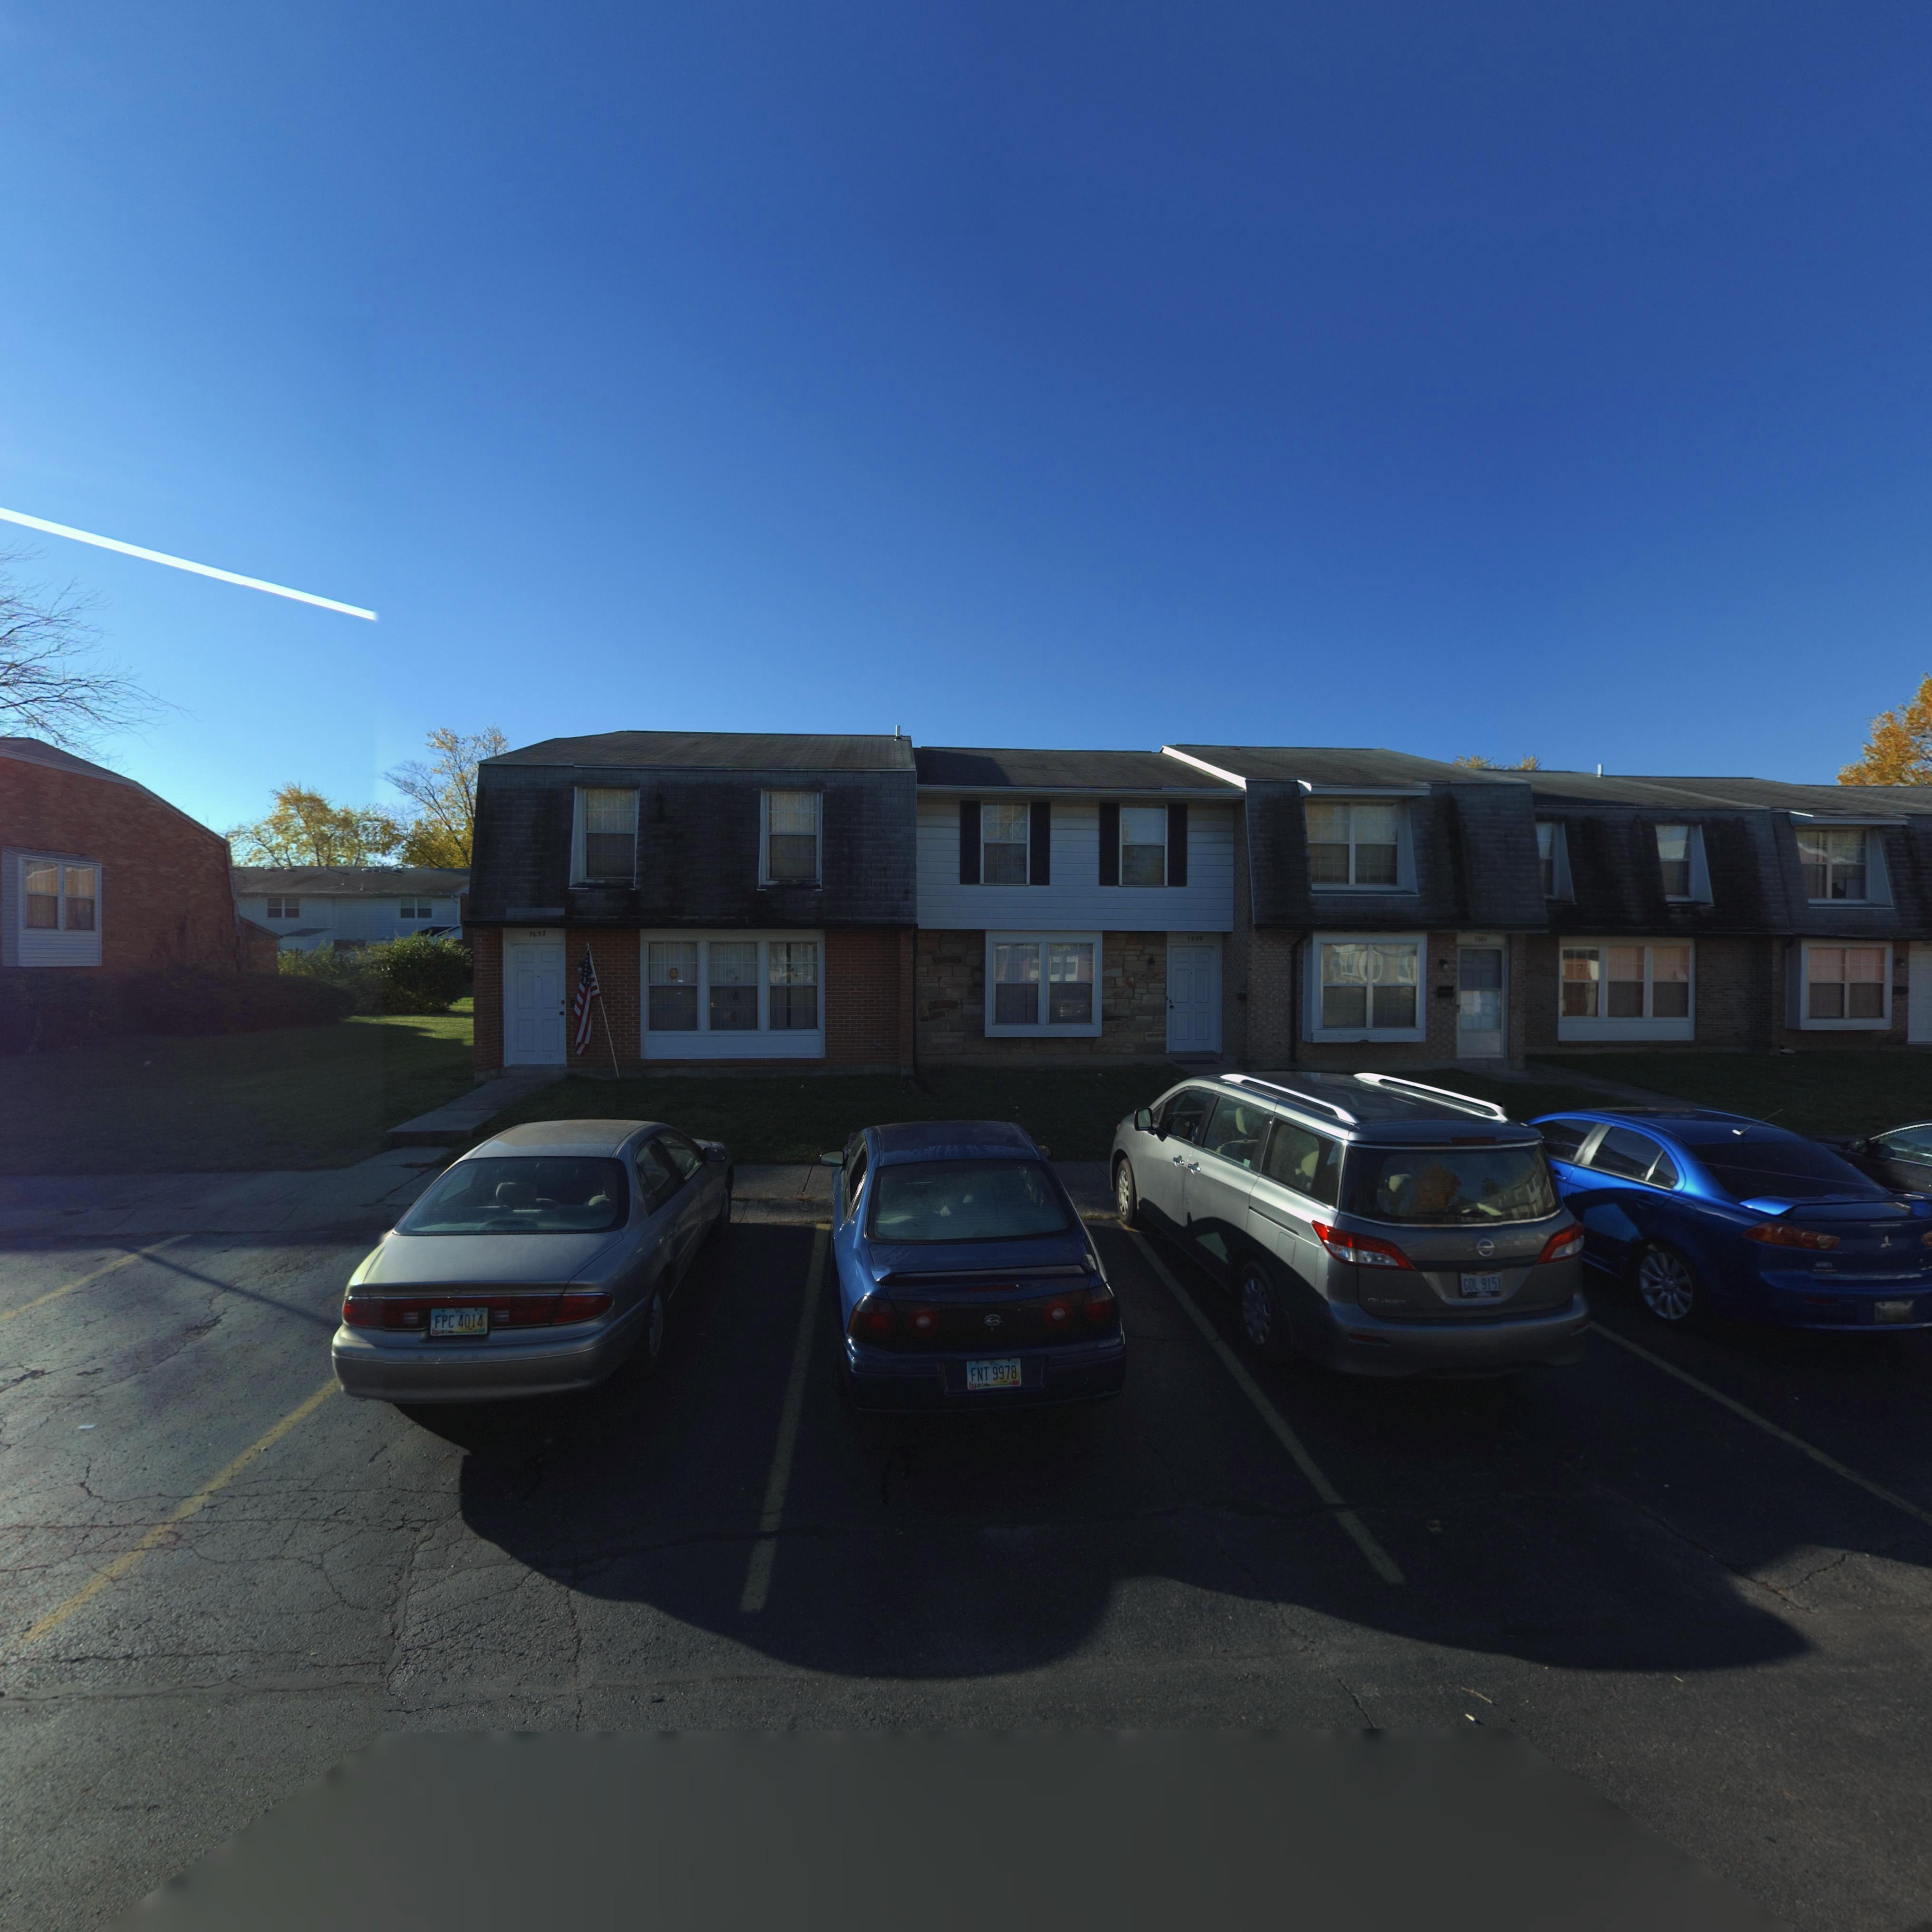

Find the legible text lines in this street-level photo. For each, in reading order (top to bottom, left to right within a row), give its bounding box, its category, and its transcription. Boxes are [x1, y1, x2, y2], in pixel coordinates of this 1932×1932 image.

[528, 930, 547, 938] StreetNumber: 7657
[1186, 935, 1203, 942] StreetNumber: 7659
[1473, 935, 1489, 942] StreetNumber: 7661